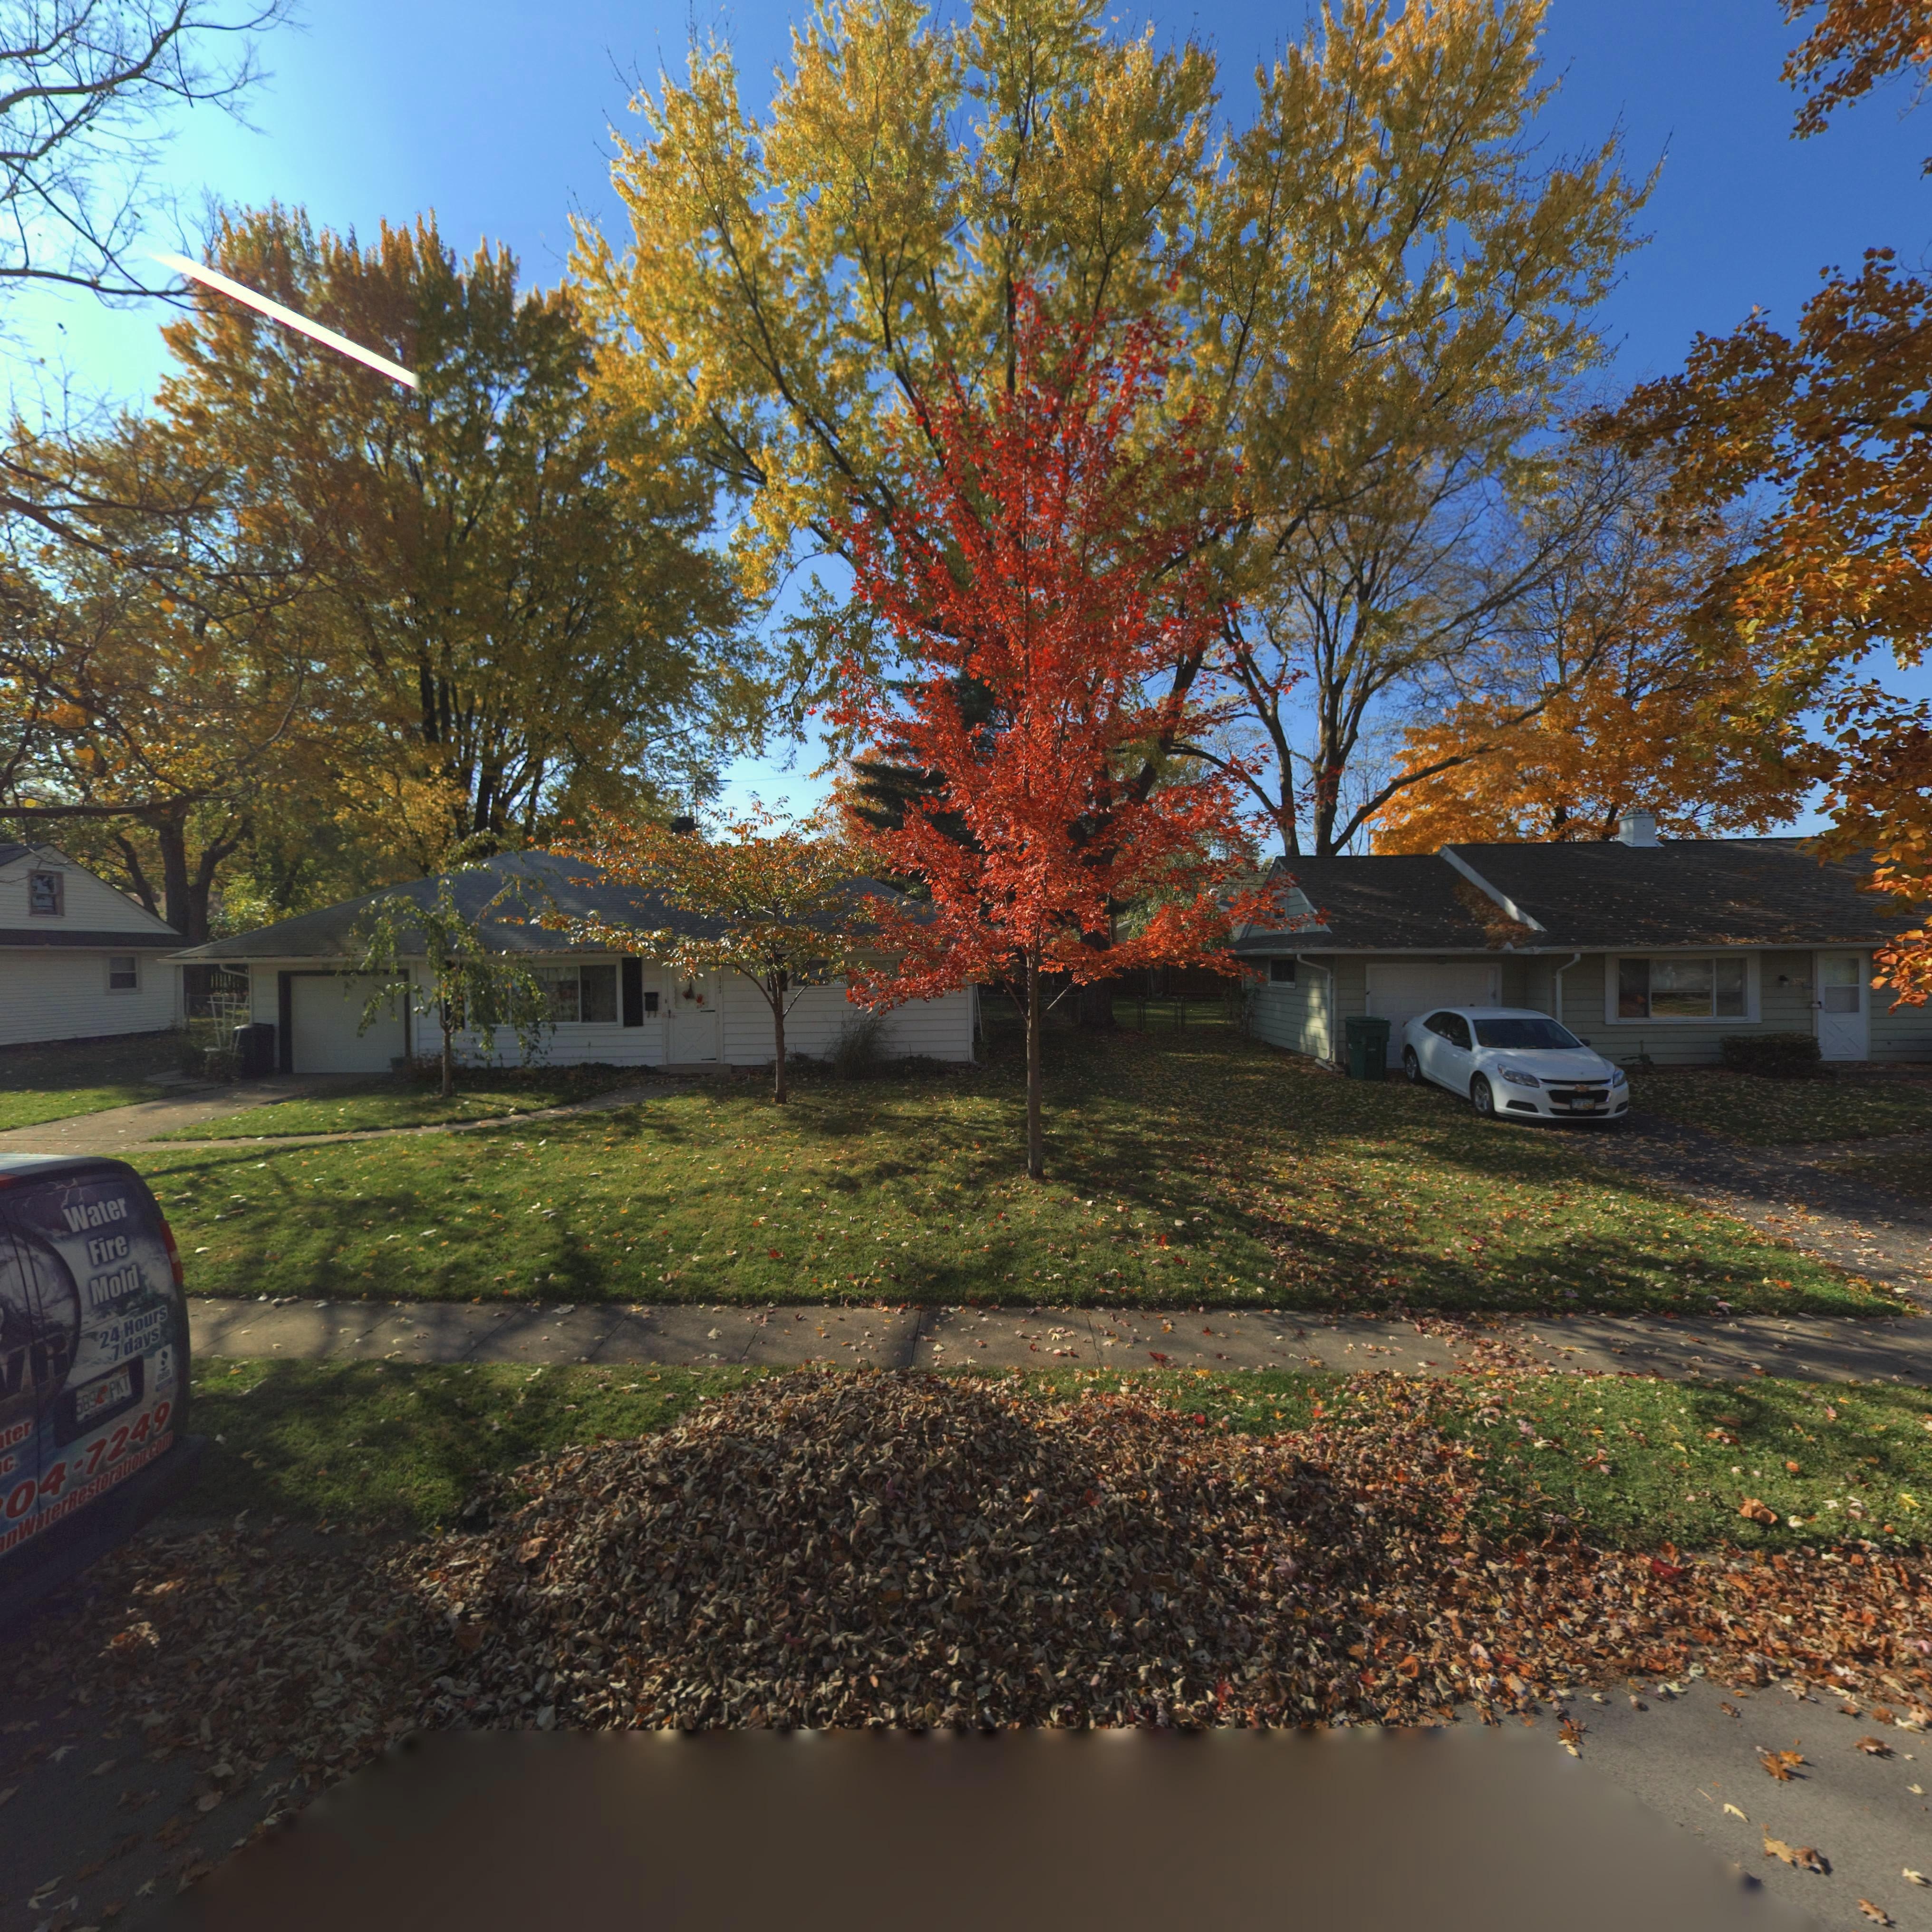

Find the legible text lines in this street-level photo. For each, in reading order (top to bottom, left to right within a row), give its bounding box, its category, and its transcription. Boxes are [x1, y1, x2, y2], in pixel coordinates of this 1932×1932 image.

[718, 975, 722, 994] StreetNumber: 3743
[1792, 977, 1807, 985] StreetNumber: 37**
[1573, 1101, 1593, 1107] None: F****2*2
[60, 1197, 128, 1234] None: Water
[87, 1235, 128, 1266] None: Fire
[89, 1263, 140, 1306] None: Mold
[27, 1333, 70, 1390] None: R
[98, 1306, 166, 1350] None: 24 Hours
[110, 1326, 159, 1362] None: 7 days
[80, 1372, 131, 1413] None: 89*PKT
[4, 1420, 33, 1447] None: ter
[2, 1455, 20, 1474] None: c.
[4, 1401, 170, 1519] None: 04-7249
[6, 1429, 173, 1550] None: nW*terRestoration.com